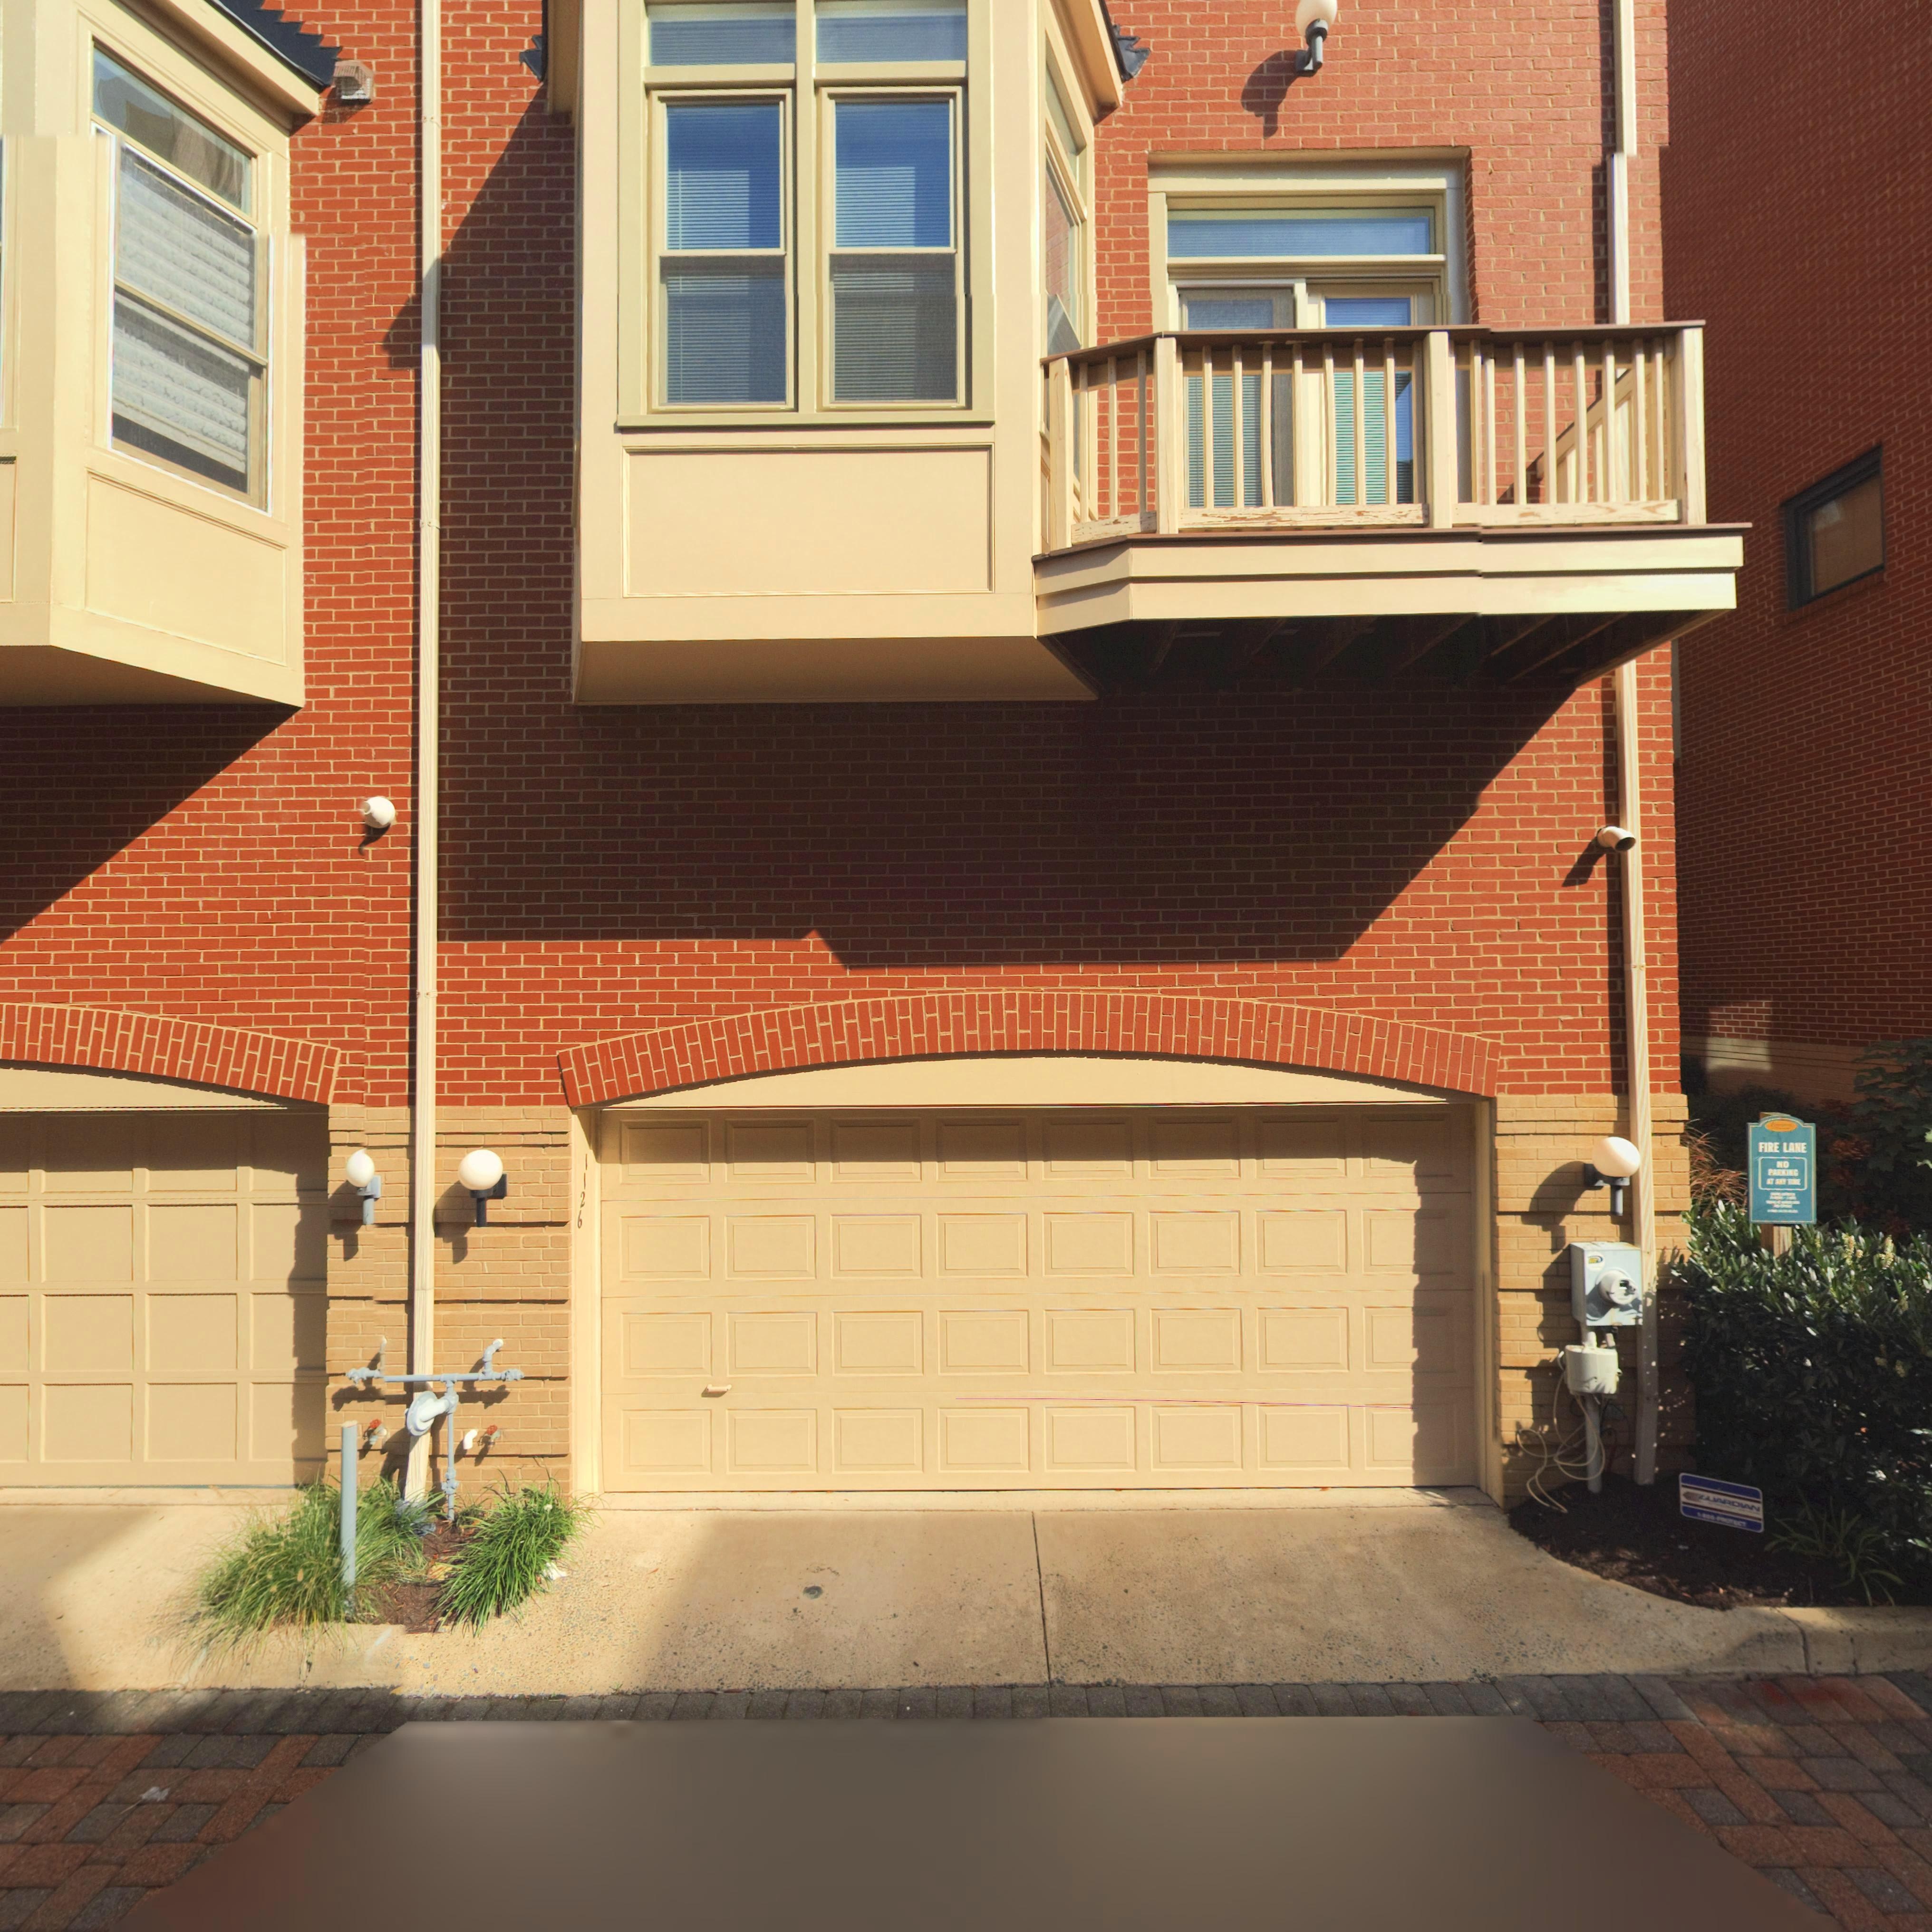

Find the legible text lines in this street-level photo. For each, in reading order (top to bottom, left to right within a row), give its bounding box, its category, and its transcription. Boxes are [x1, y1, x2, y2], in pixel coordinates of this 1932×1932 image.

[1758, 1140, 1808, 1154] None: FIRE LANE
[1776, 1160, 1791, 1169] None: NO
[575, 1150, 590, 1232] StreetNumber: 1126
[1696, 1492, 1763, 1513] None: *****OWN